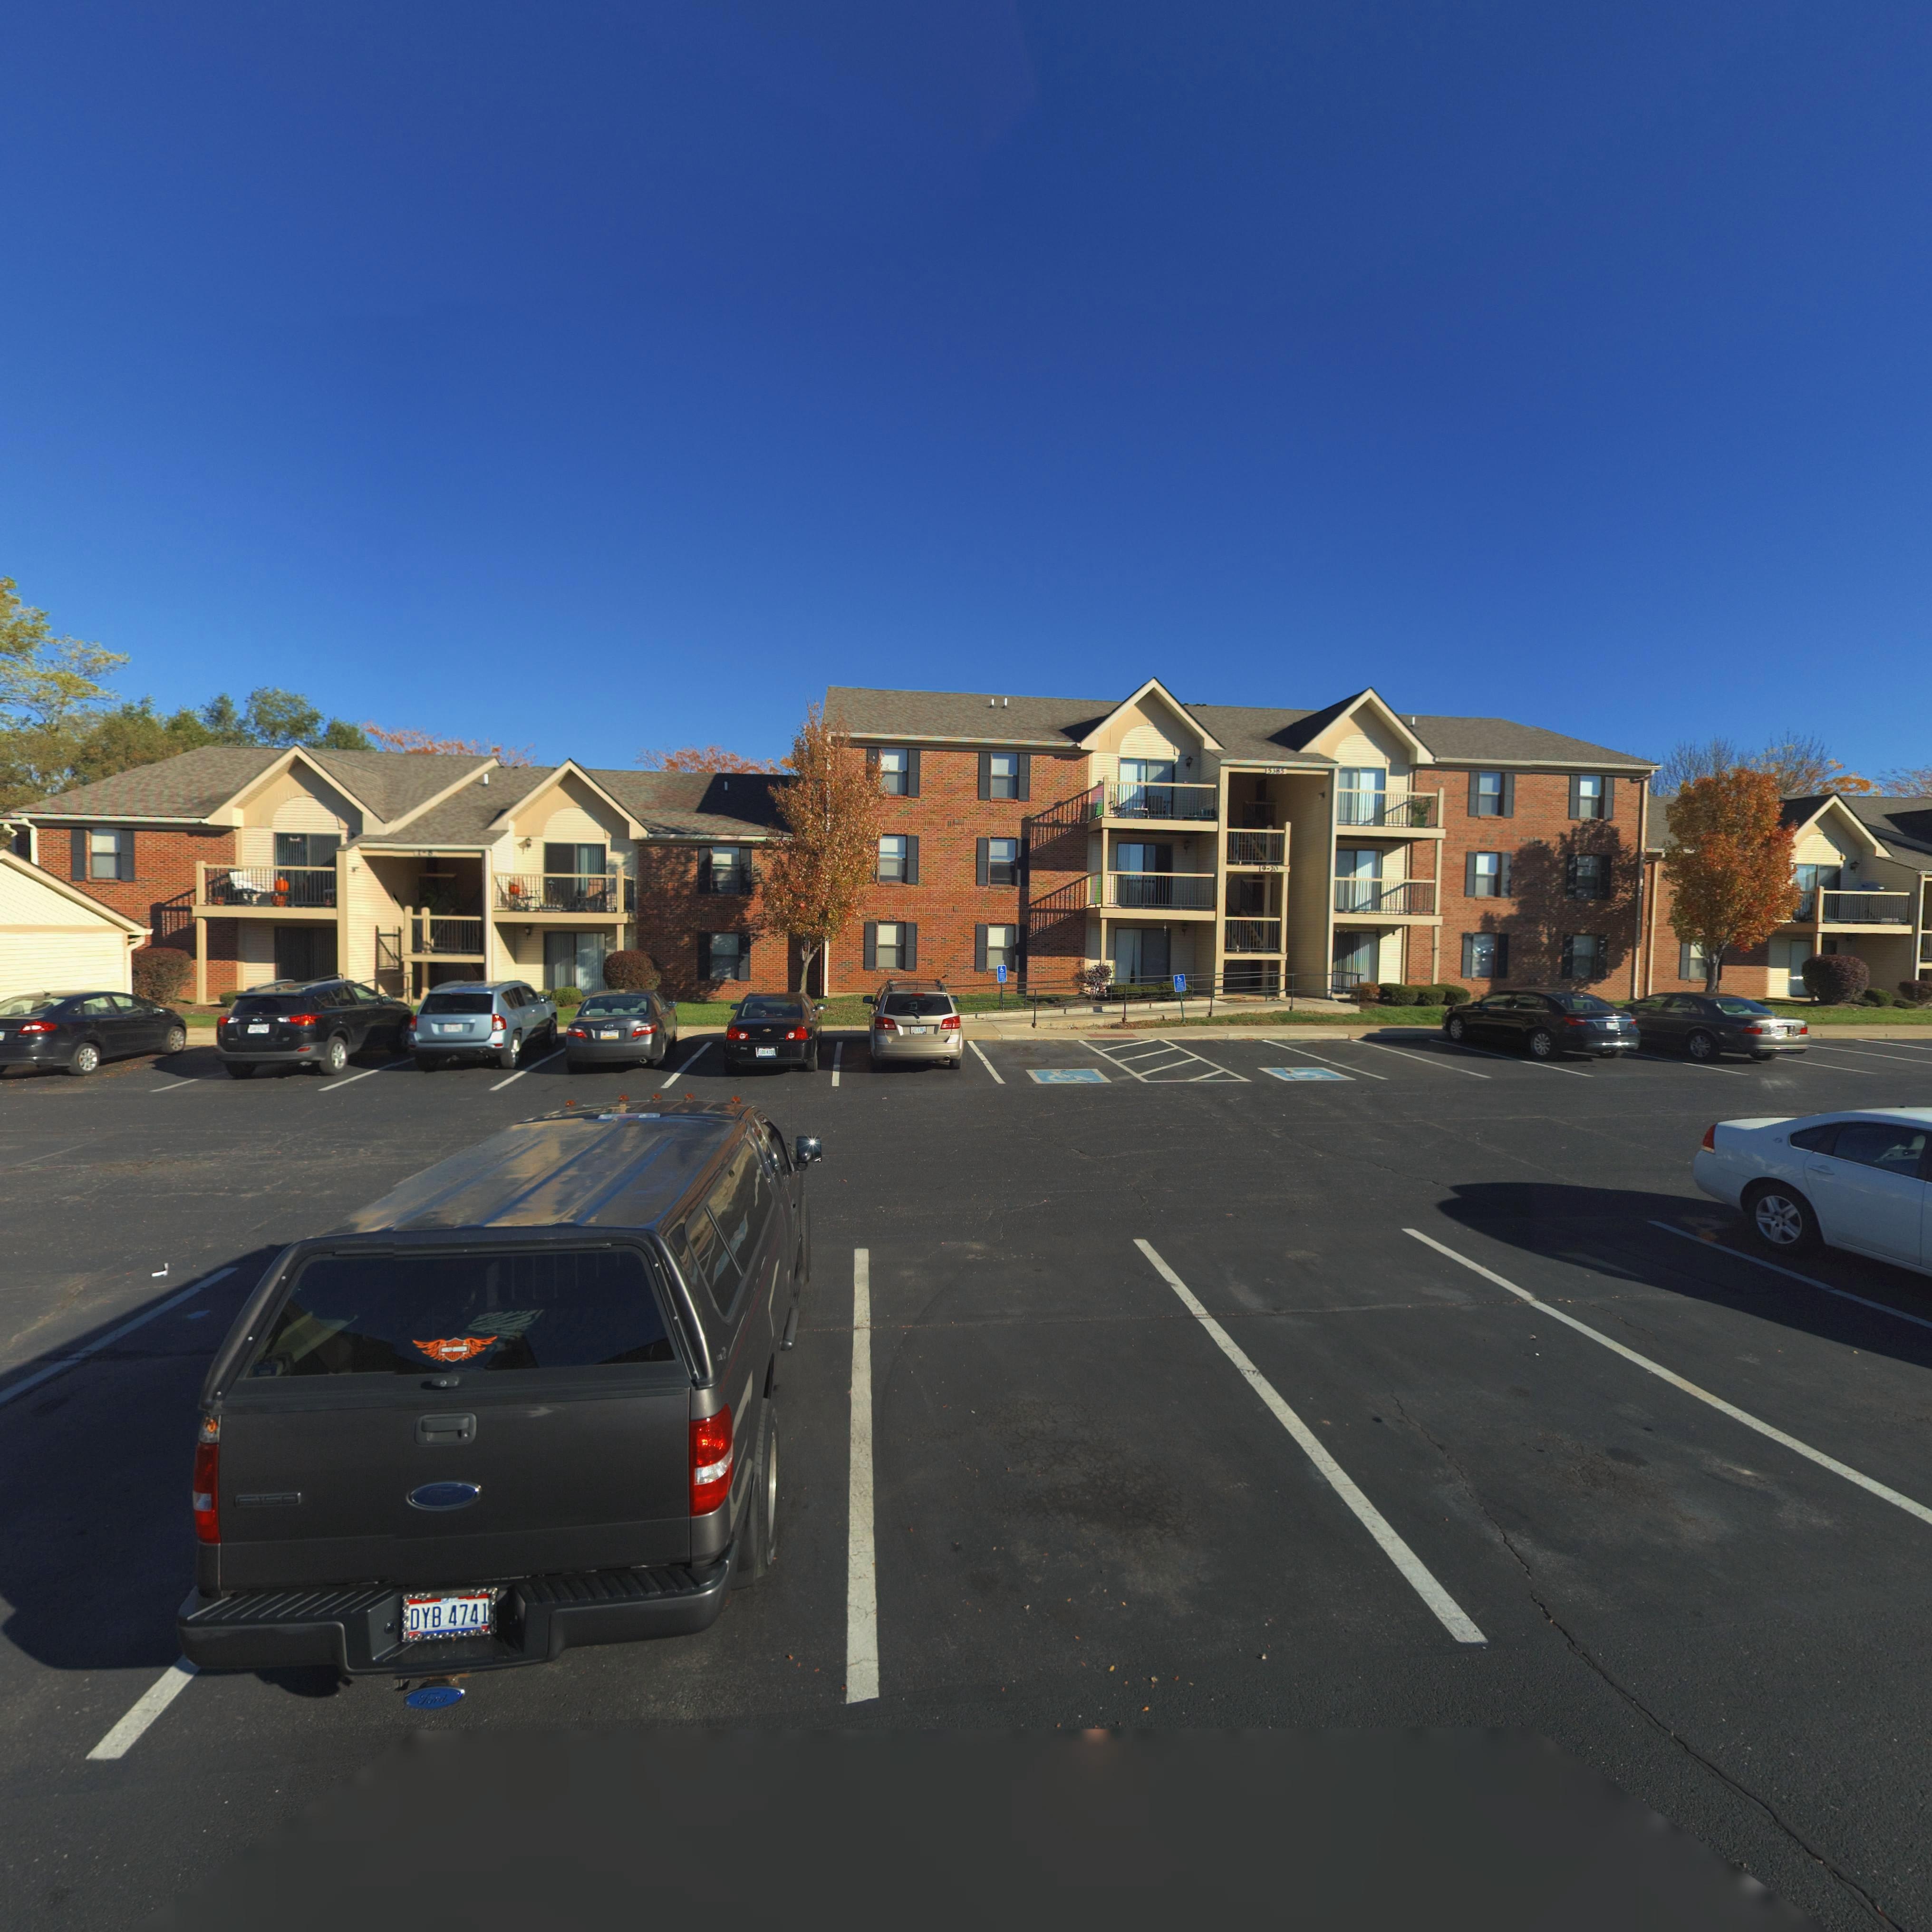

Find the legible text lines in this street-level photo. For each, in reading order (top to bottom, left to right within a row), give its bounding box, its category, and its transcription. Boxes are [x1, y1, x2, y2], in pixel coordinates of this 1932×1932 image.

[1267, 767, 1284, 773] StreetNumber: 5385
[416, 849, 433, 856] StreetNumber: 1-8
[1261, 865, 1278, 872] StreetNumber: 9-20